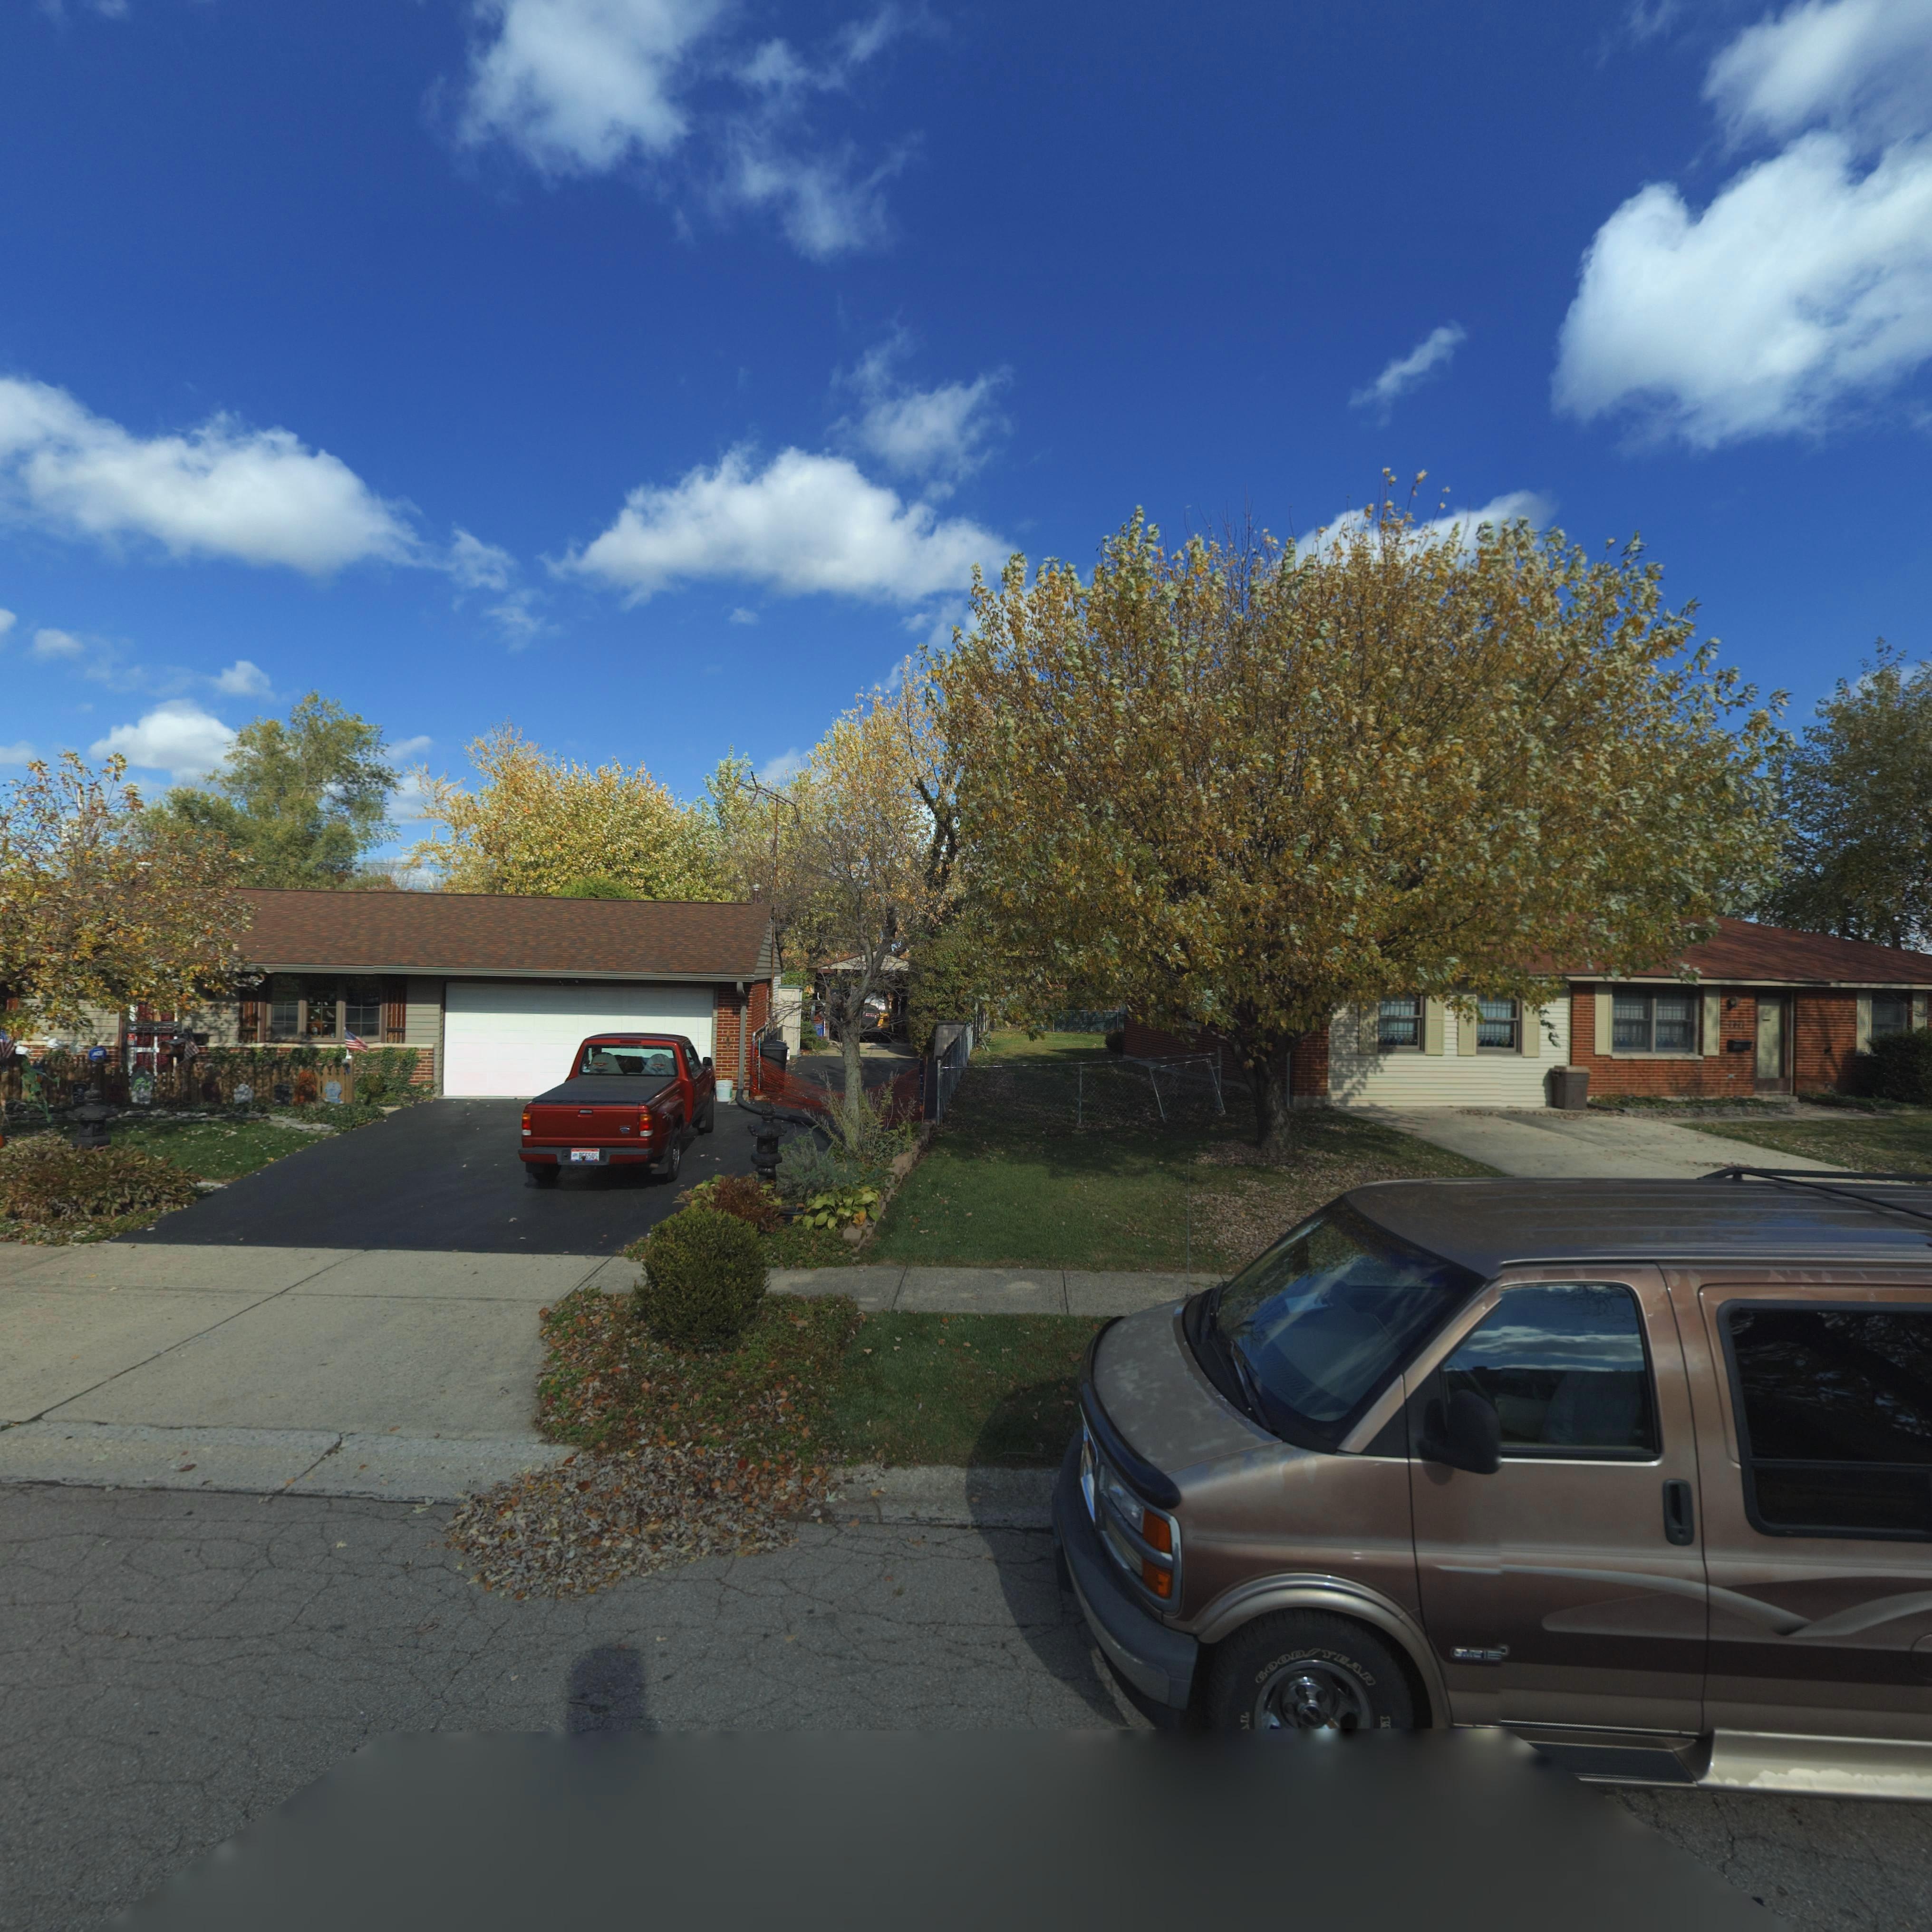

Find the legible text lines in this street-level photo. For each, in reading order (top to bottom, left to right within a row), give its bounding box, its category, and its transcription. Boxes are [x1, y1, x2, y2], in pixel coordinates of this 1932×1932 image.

[203, 1002, 230, 1014] StreetNumber: 767
[1727, 1019, 1745, 1029] StreetNumber: 7*71